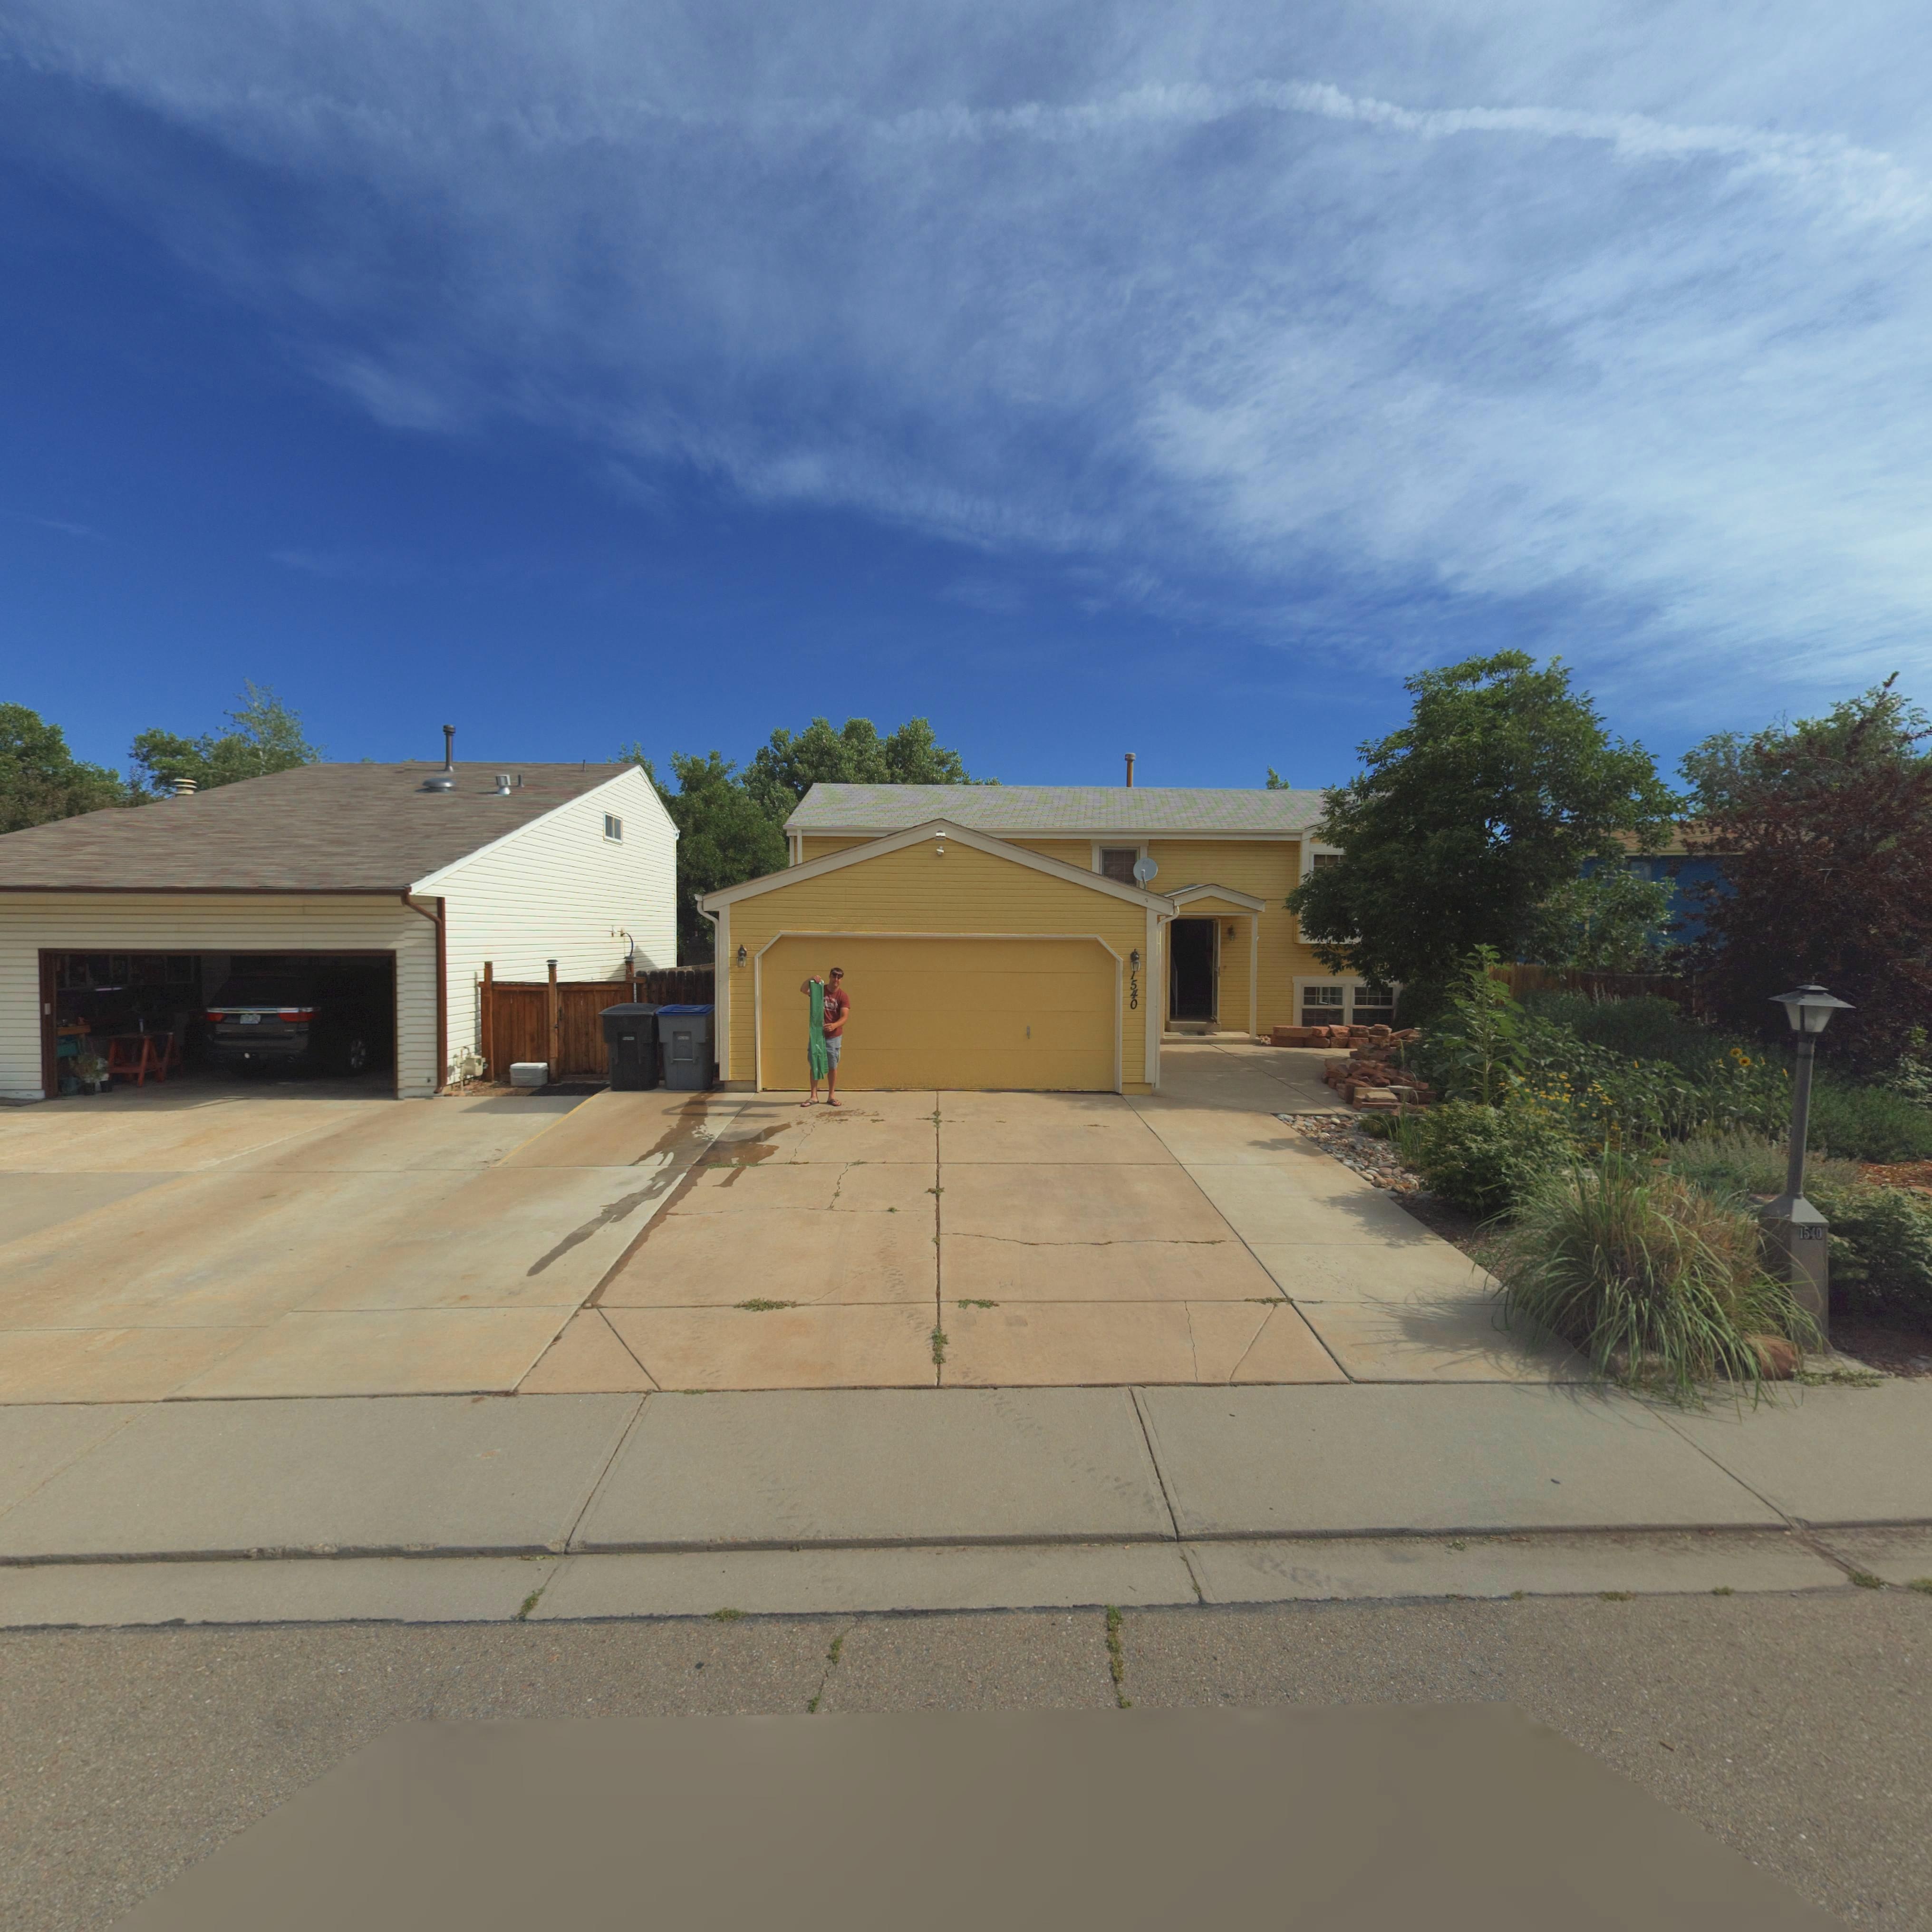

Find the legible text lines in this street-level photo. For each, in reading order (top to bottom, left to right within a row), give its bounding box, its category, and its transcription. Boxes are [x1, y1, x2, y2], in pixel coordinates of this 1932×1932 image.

[1129, 969, 1138, 1010] StreetNumber: 1540
[1799, 1227, 1822, 1239] StreetNumber: 1540